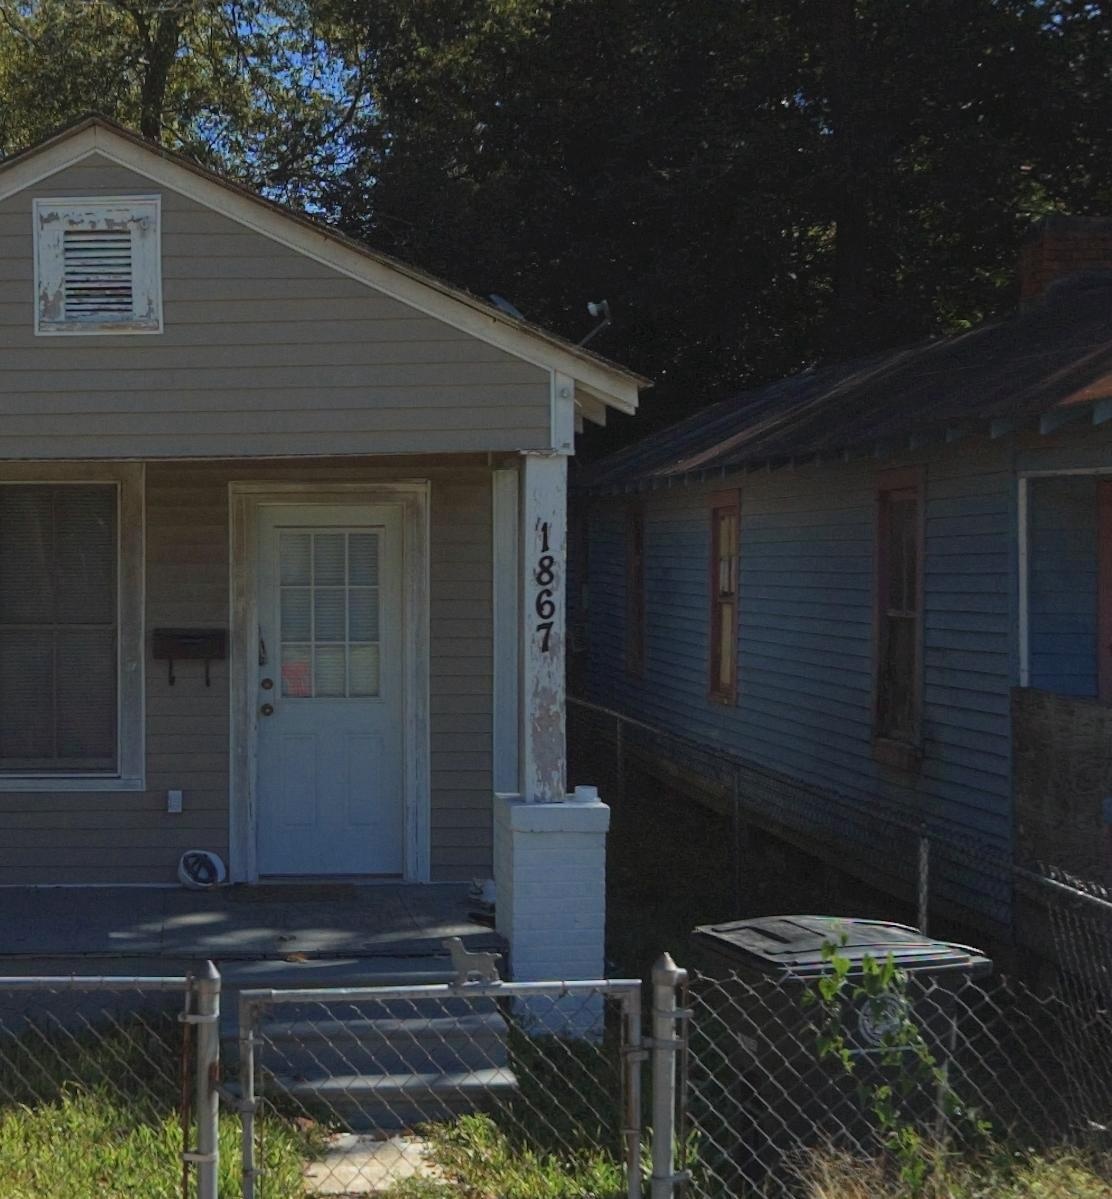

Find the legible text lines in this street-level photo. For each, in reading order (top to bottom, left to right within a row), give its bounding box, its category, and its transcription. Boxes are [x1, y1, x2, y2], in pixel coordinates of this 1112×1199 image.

[533, 519, 557, 654] StreetNumber: 1867